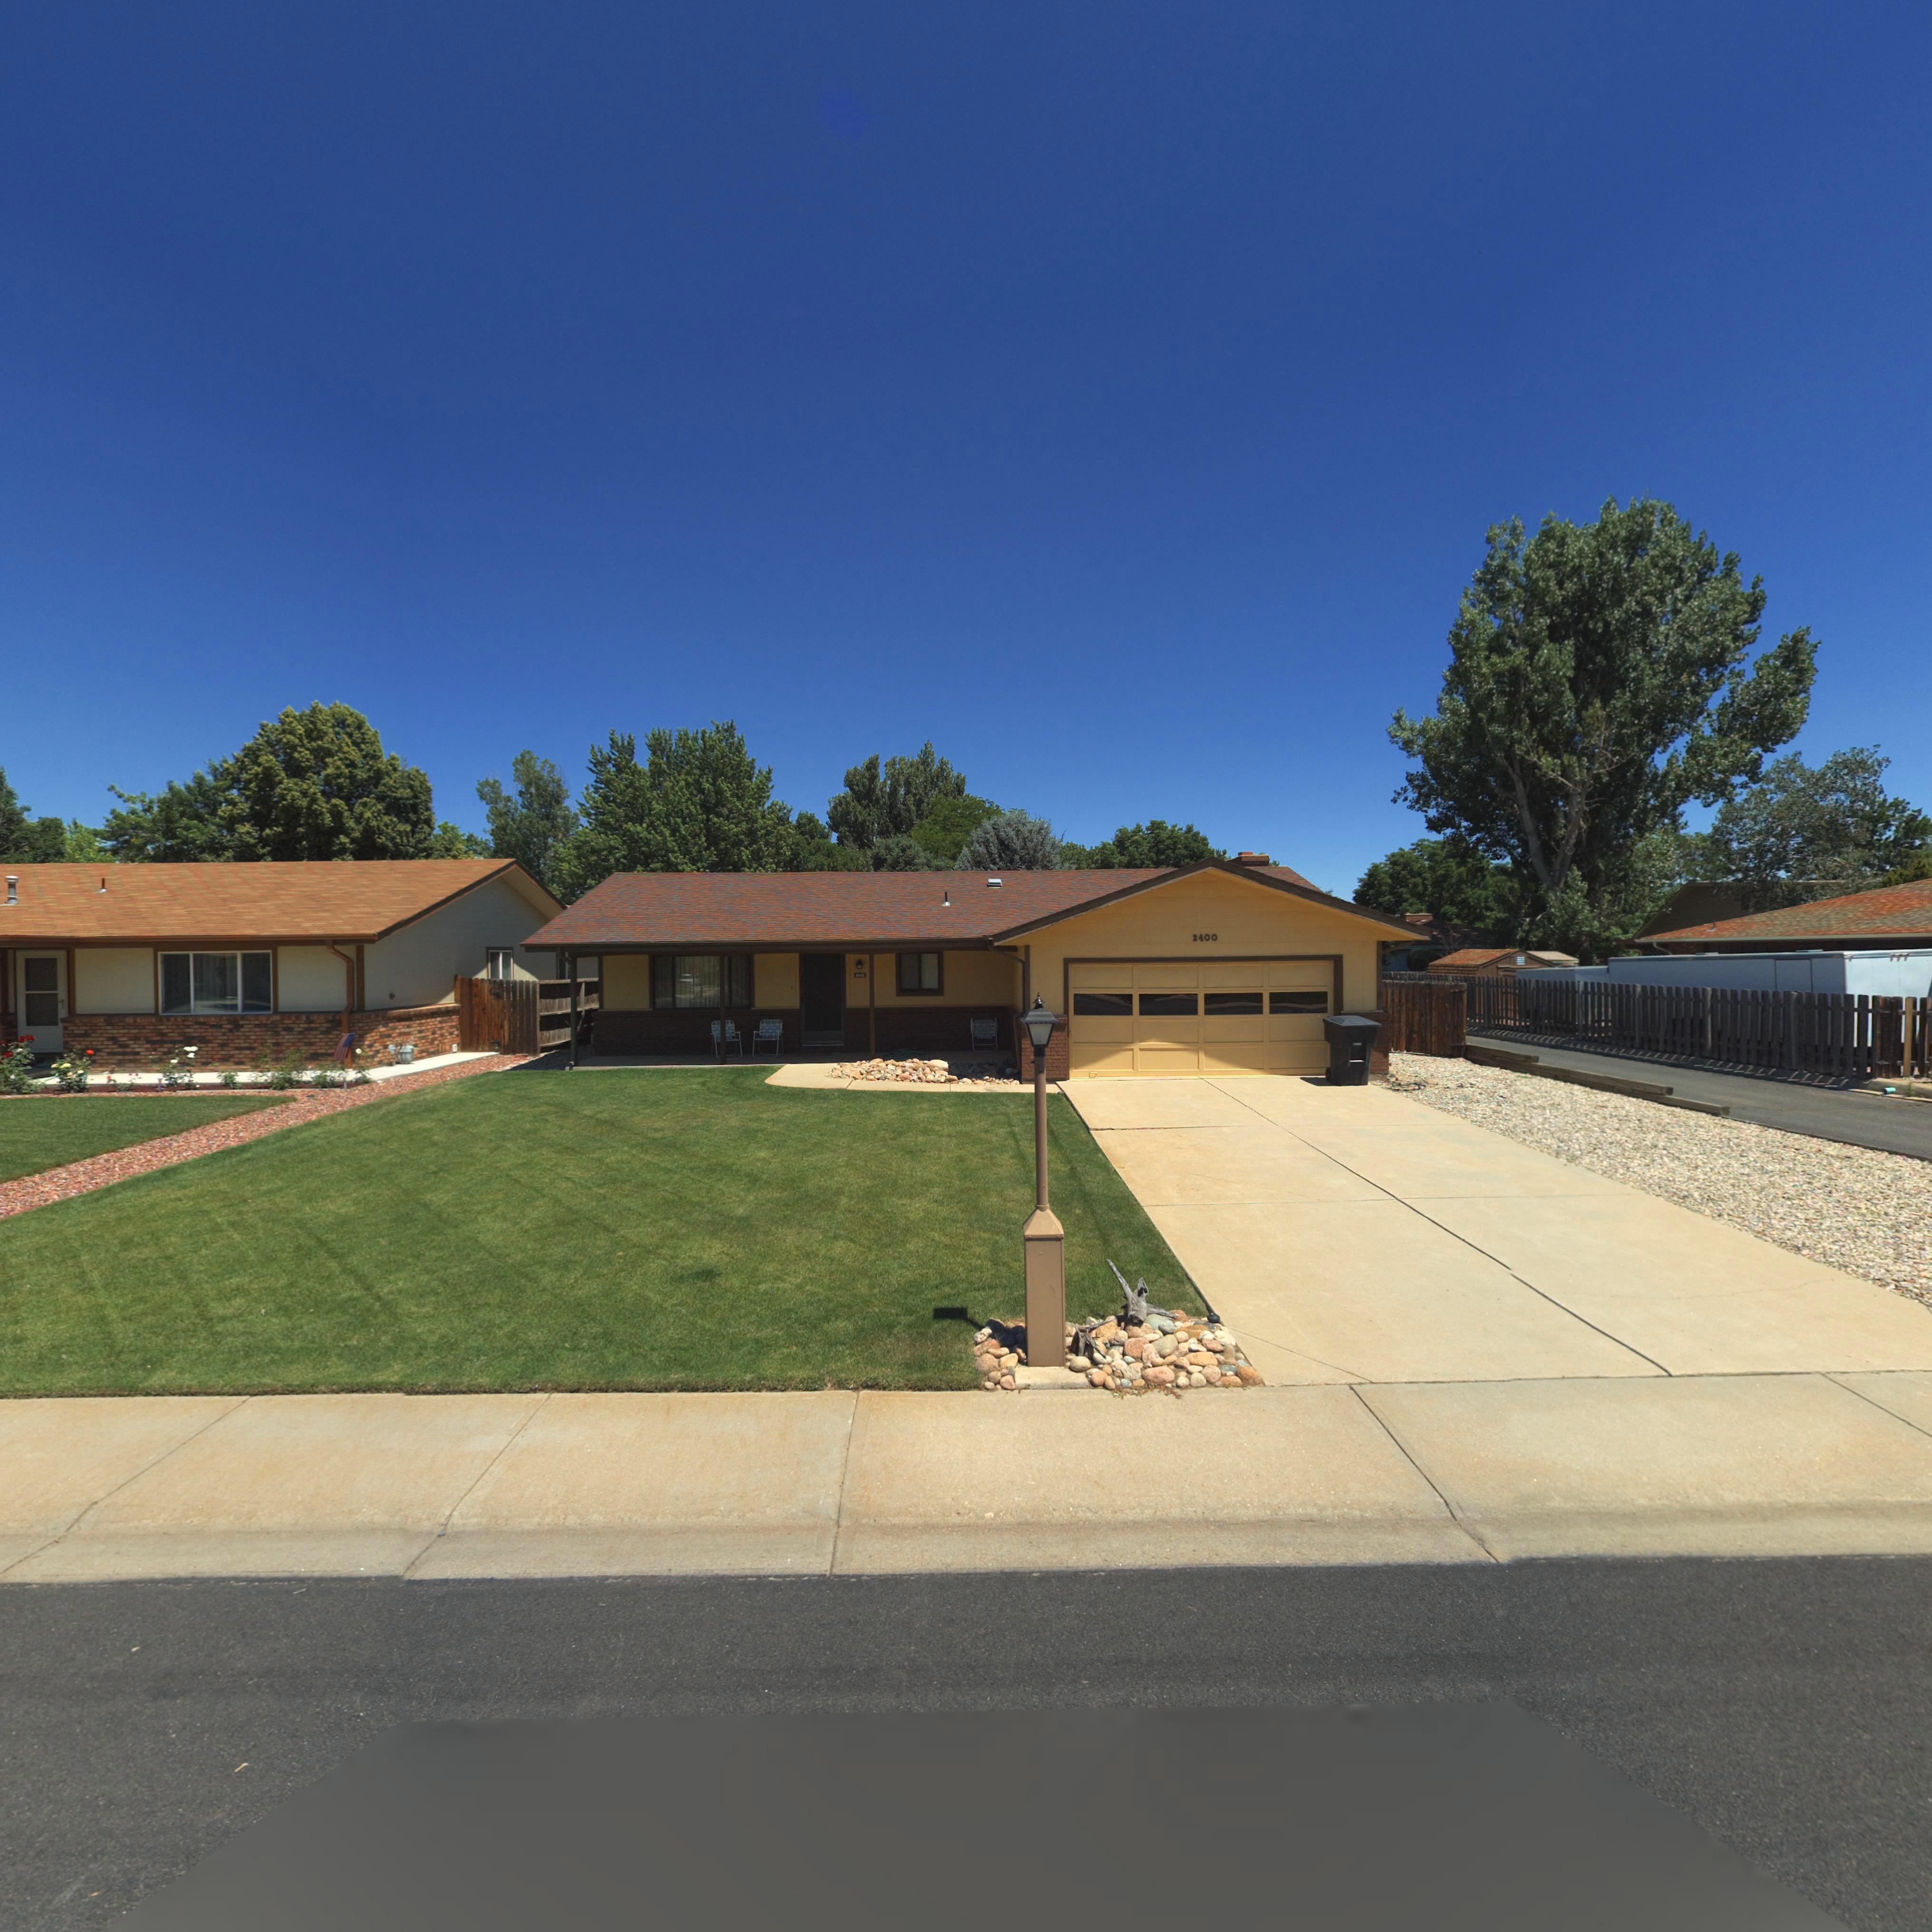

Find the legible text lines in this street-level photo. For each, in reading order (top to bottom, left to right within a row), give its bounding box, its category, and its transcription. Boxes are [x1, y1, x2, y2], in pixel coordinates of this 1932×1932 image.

[1192, 933, 1217, 941] StreetNumber: 2400